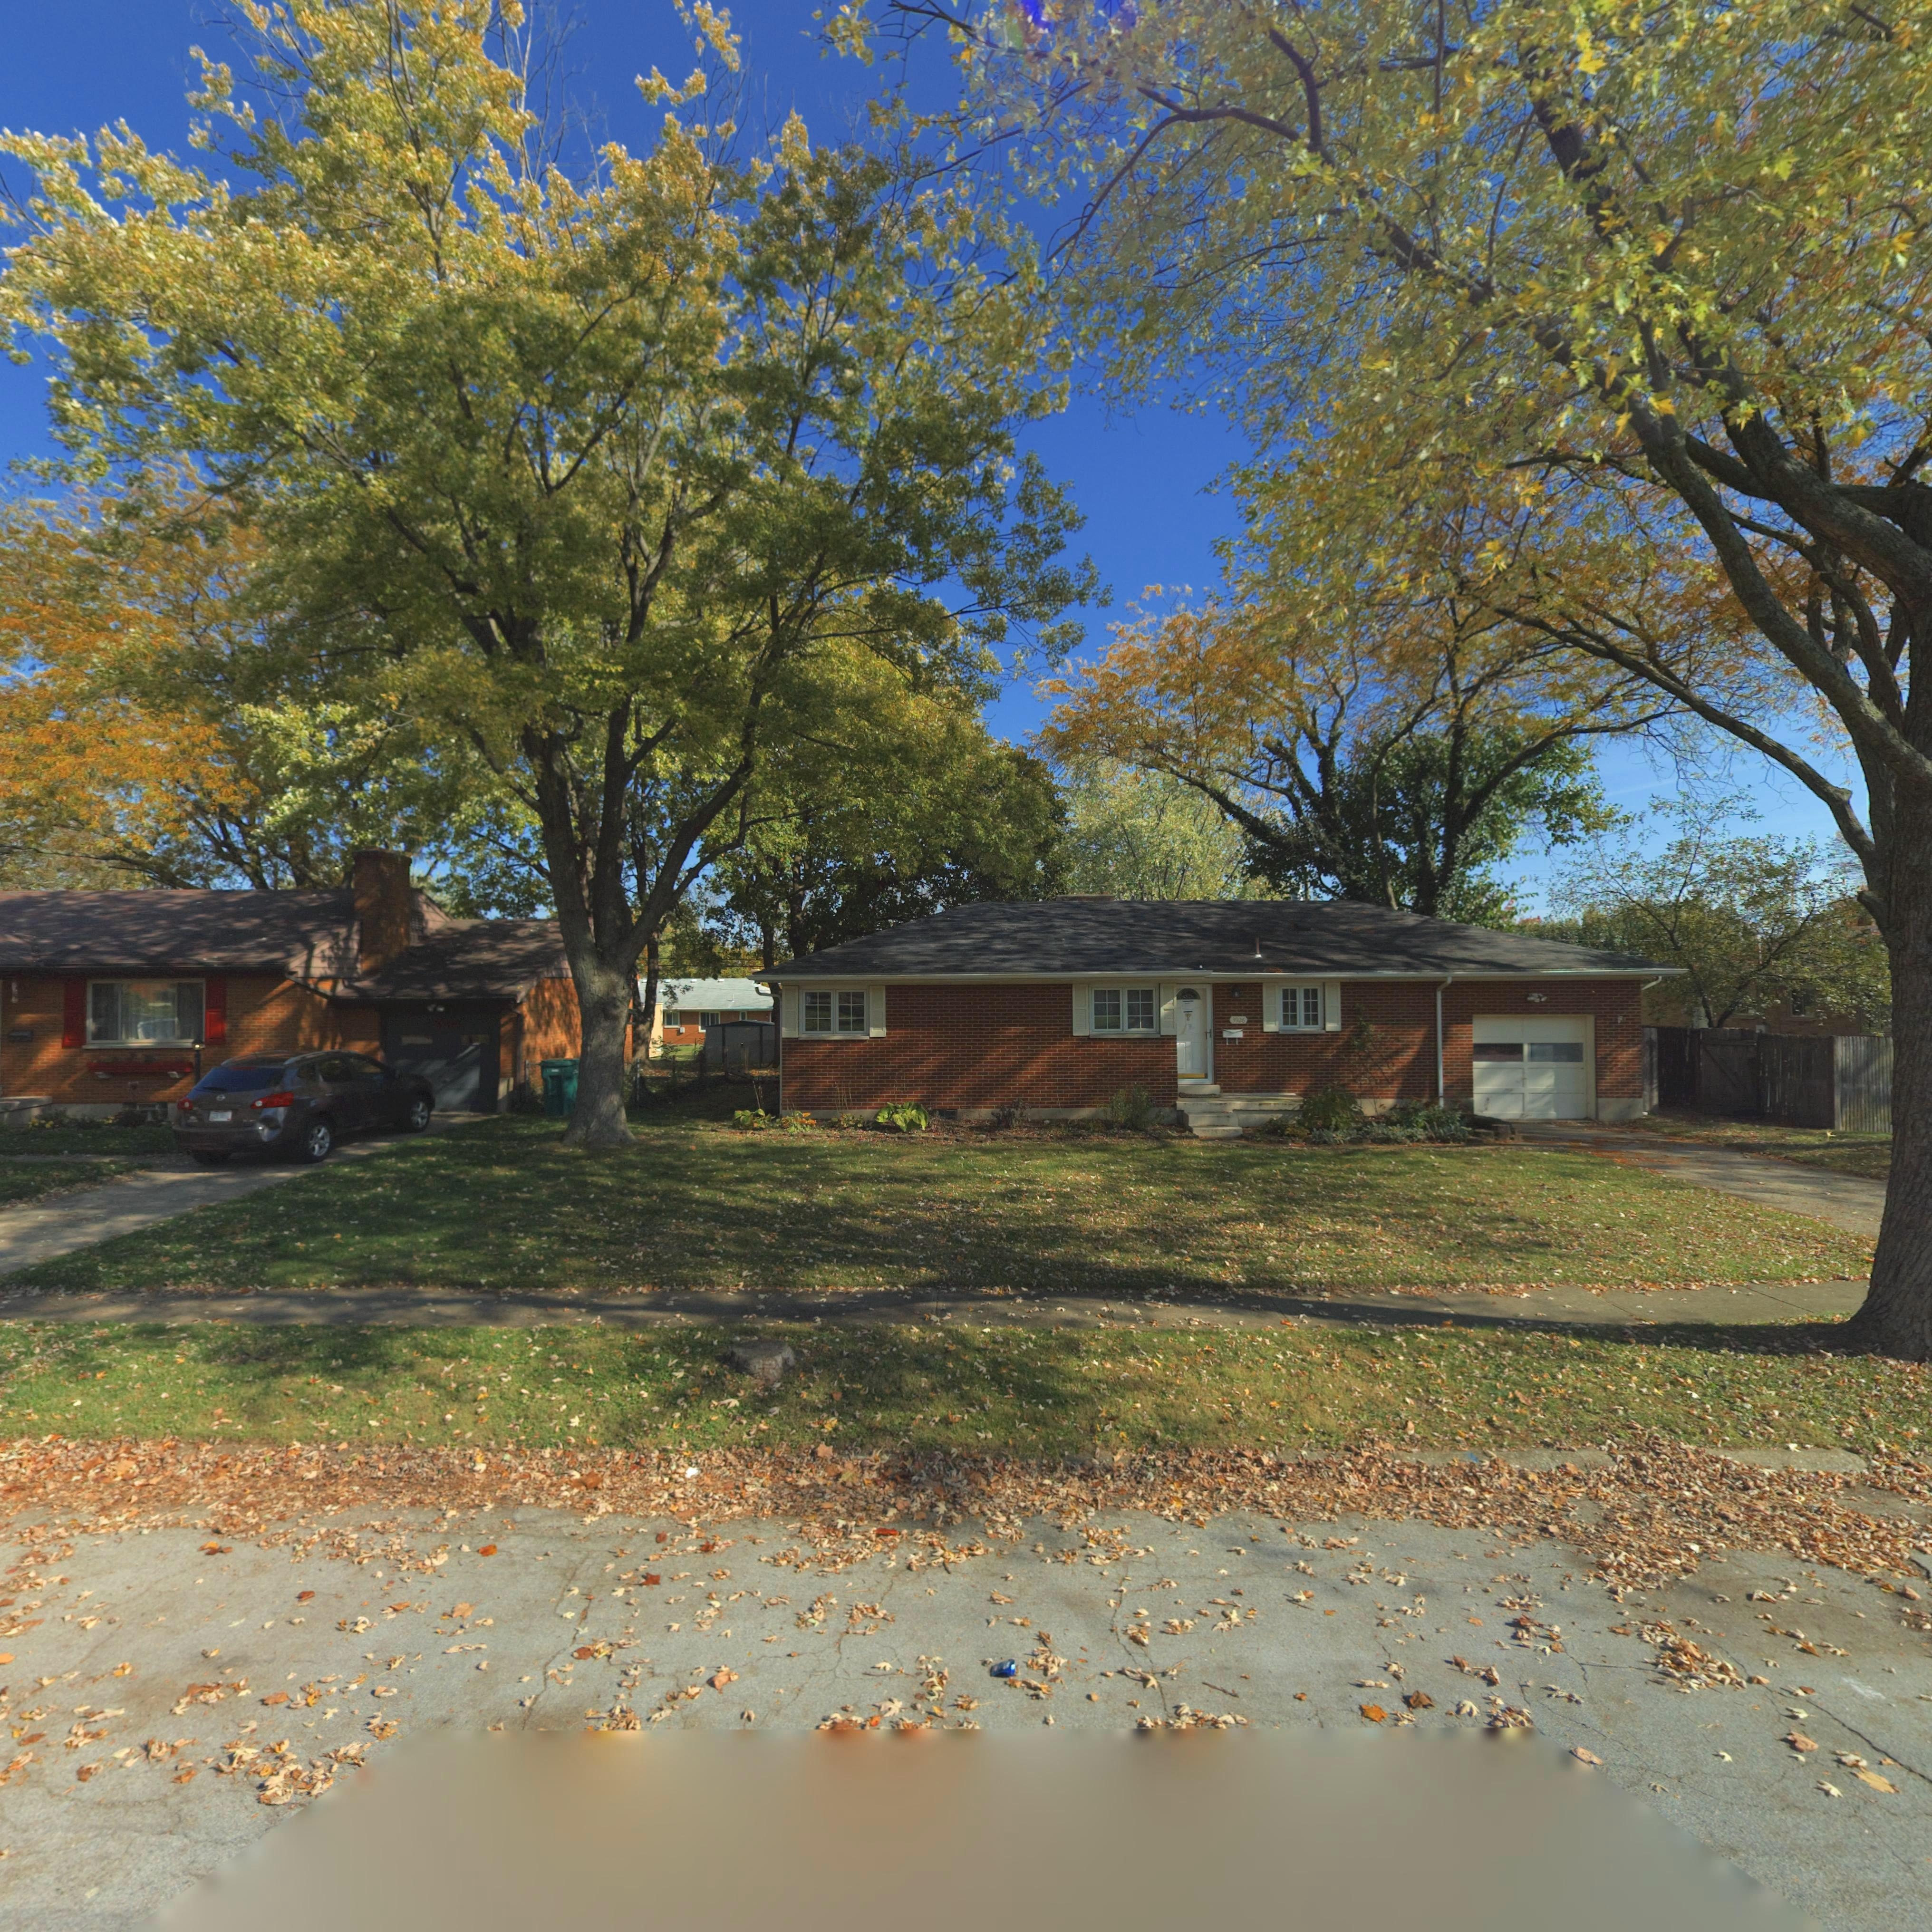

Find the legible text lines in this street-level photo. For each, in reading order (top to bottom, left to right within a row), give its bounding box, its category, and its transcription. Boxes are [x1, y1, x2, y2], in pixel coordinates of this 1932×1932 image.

[1232, 1016, 1245, 1023] StreetNumber: 3926